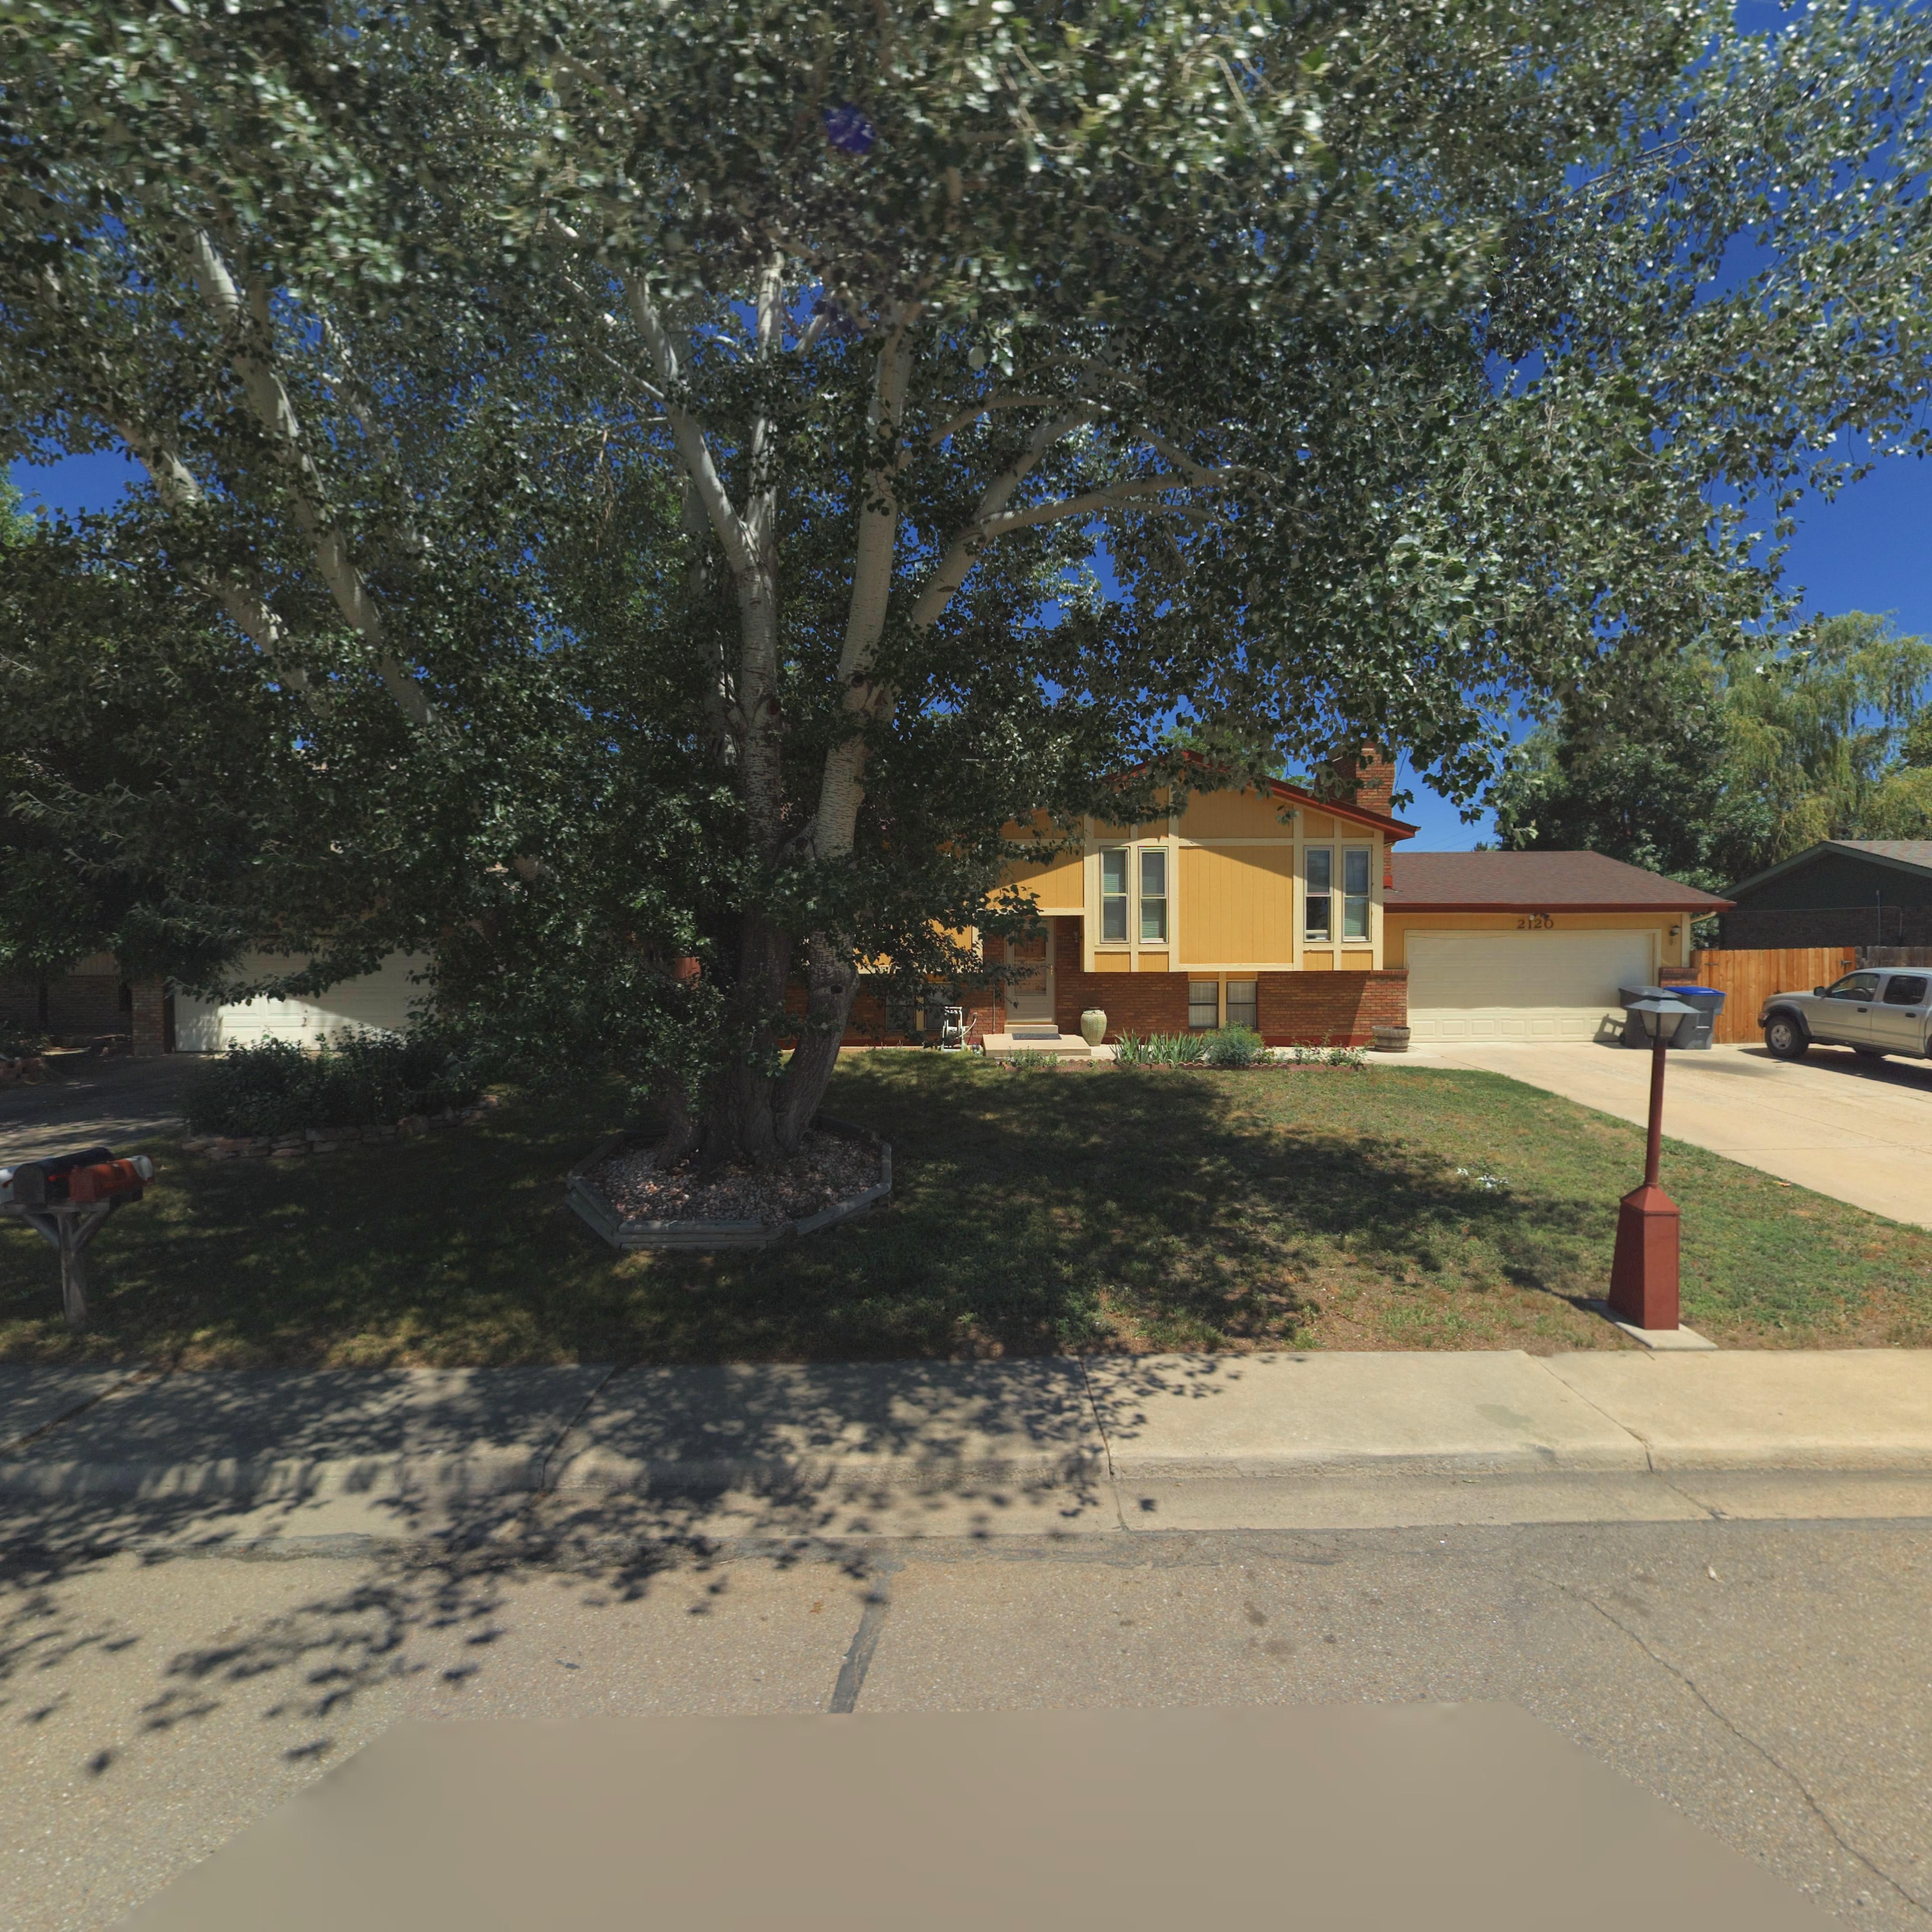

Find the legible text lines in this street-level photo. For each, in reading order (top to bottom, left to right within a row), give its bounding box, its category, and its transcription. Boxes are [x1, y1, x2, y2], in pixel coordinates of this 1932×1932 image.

[1517, 918, 1555, 929] StreetNumber: 2120